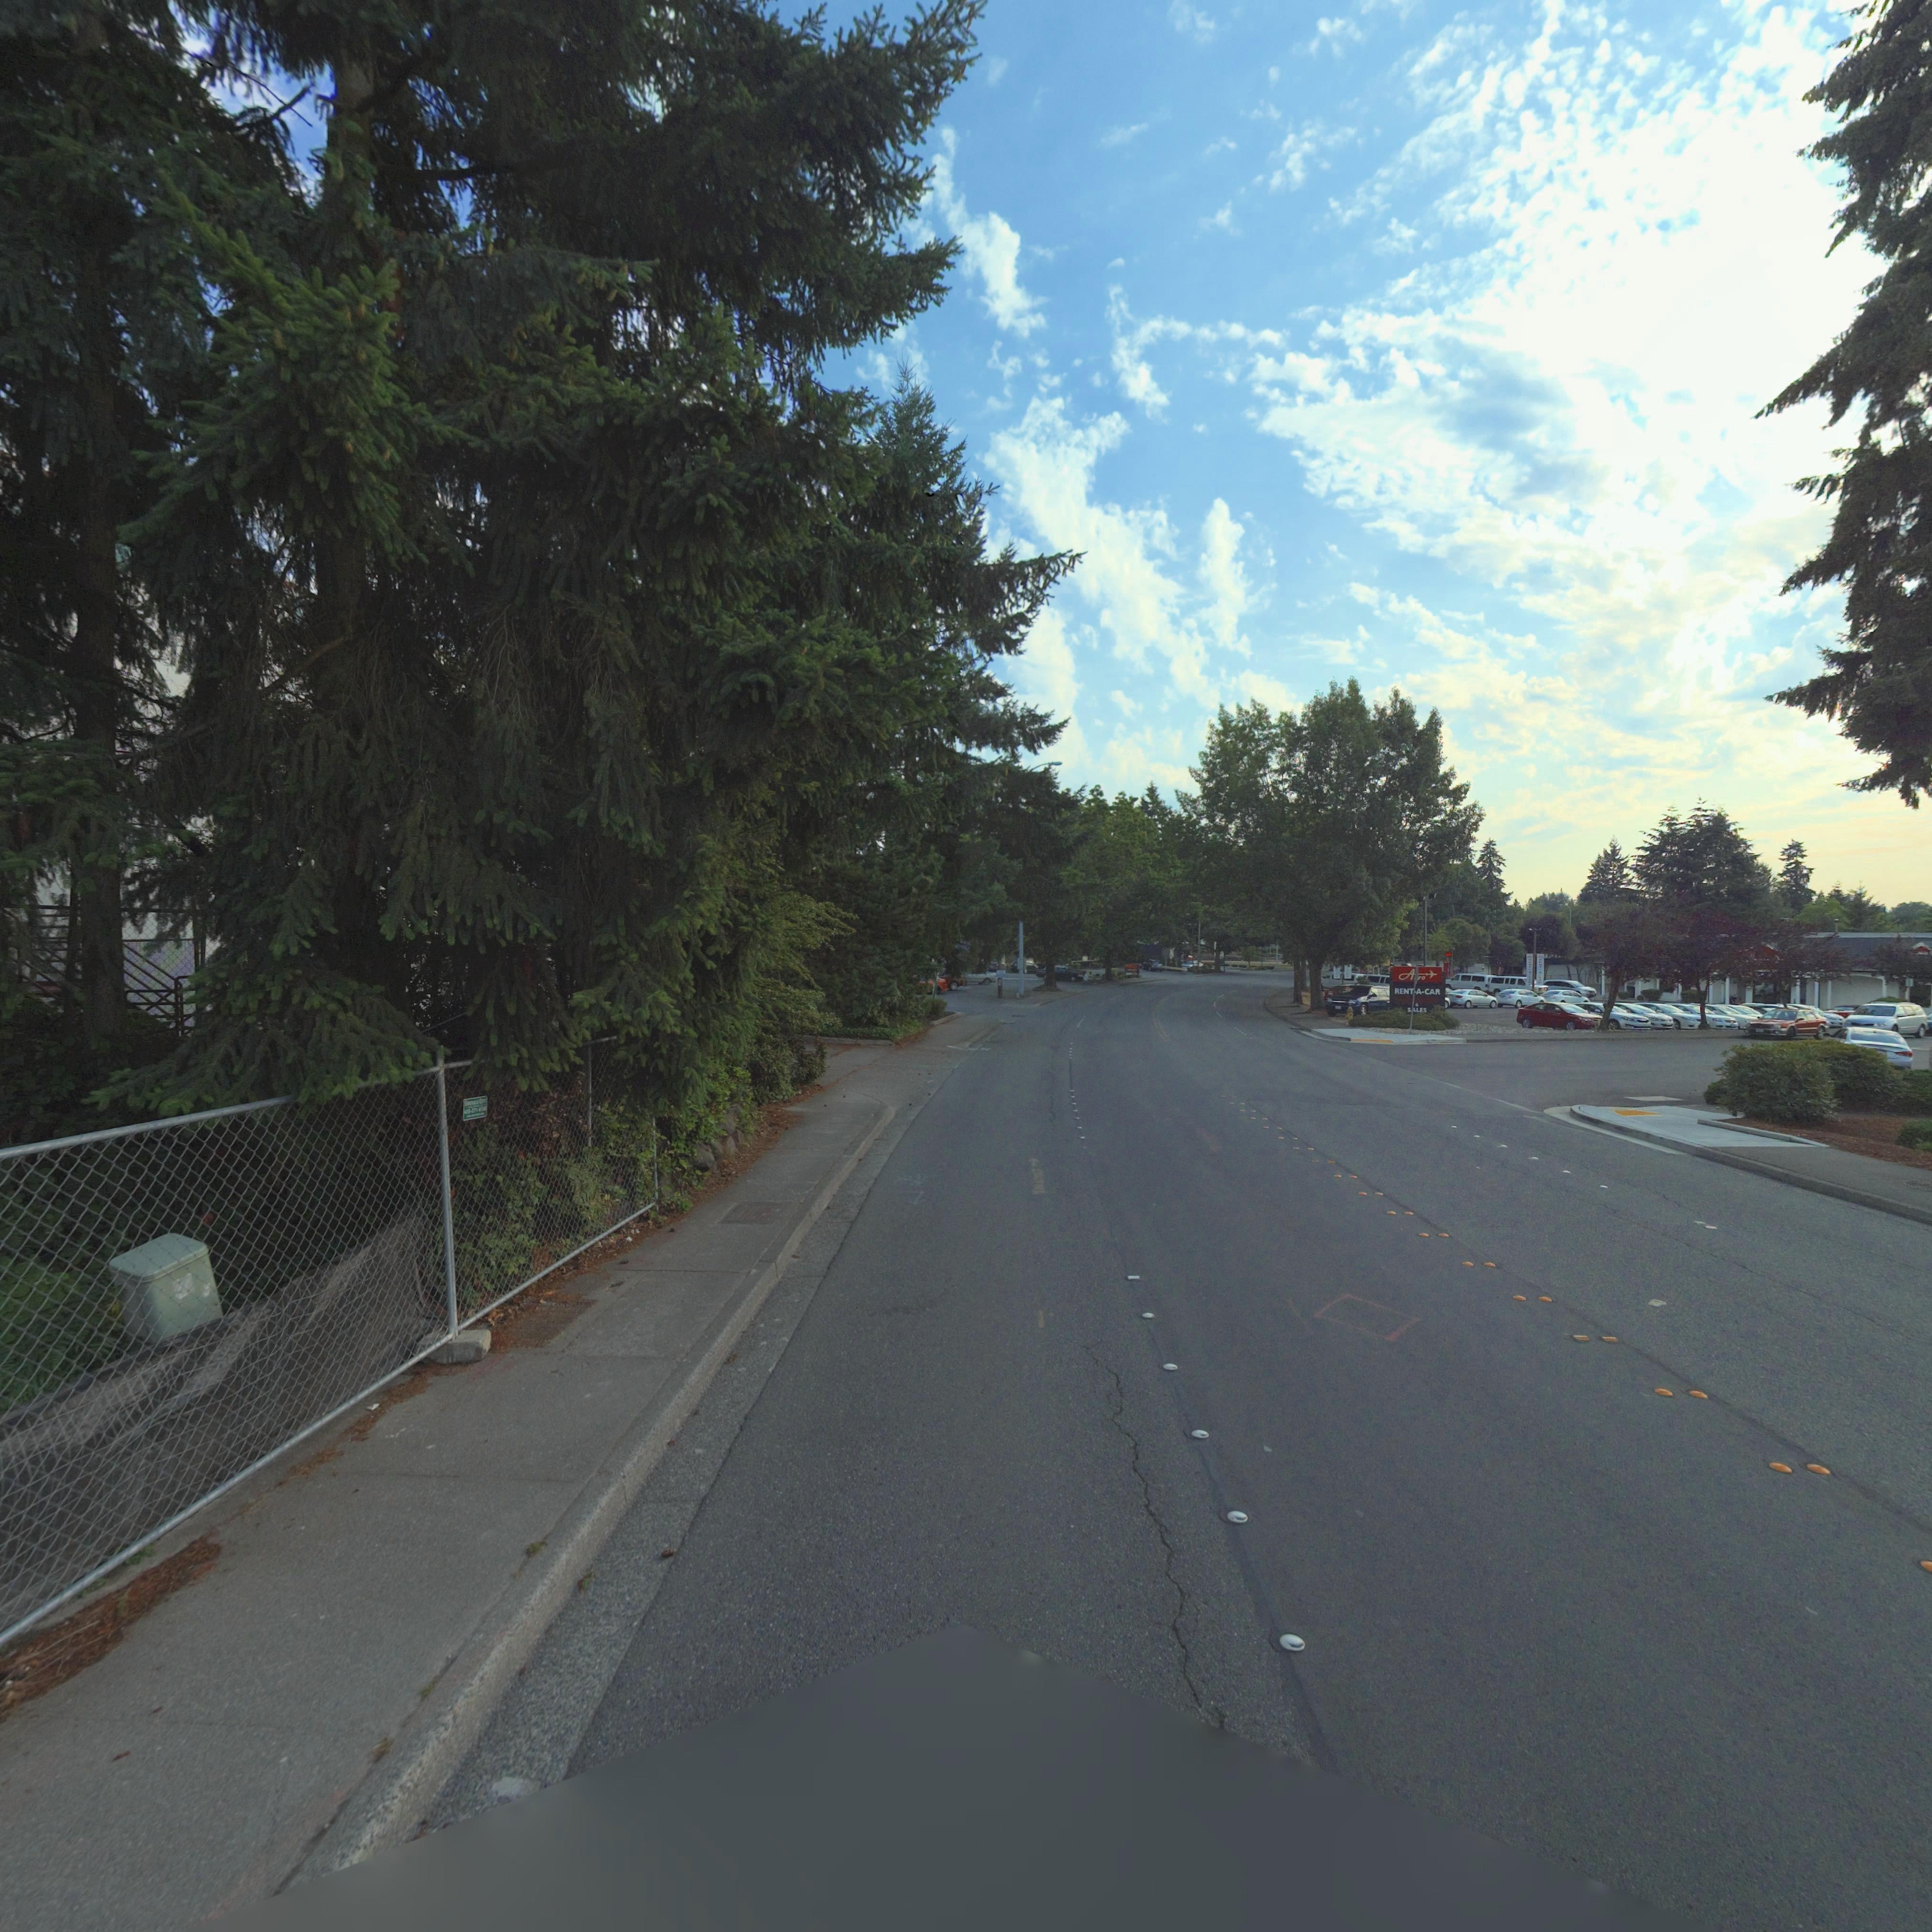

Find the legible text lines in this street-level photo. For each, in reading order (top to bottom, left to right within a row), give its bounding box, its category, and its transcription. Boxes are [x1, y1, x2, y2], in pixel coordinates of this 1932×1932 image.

[1397, 969, 1425, 980] BusinessName: A*ro
[1395, 988, 1439, 994] BusinessName: RENT-A CAR